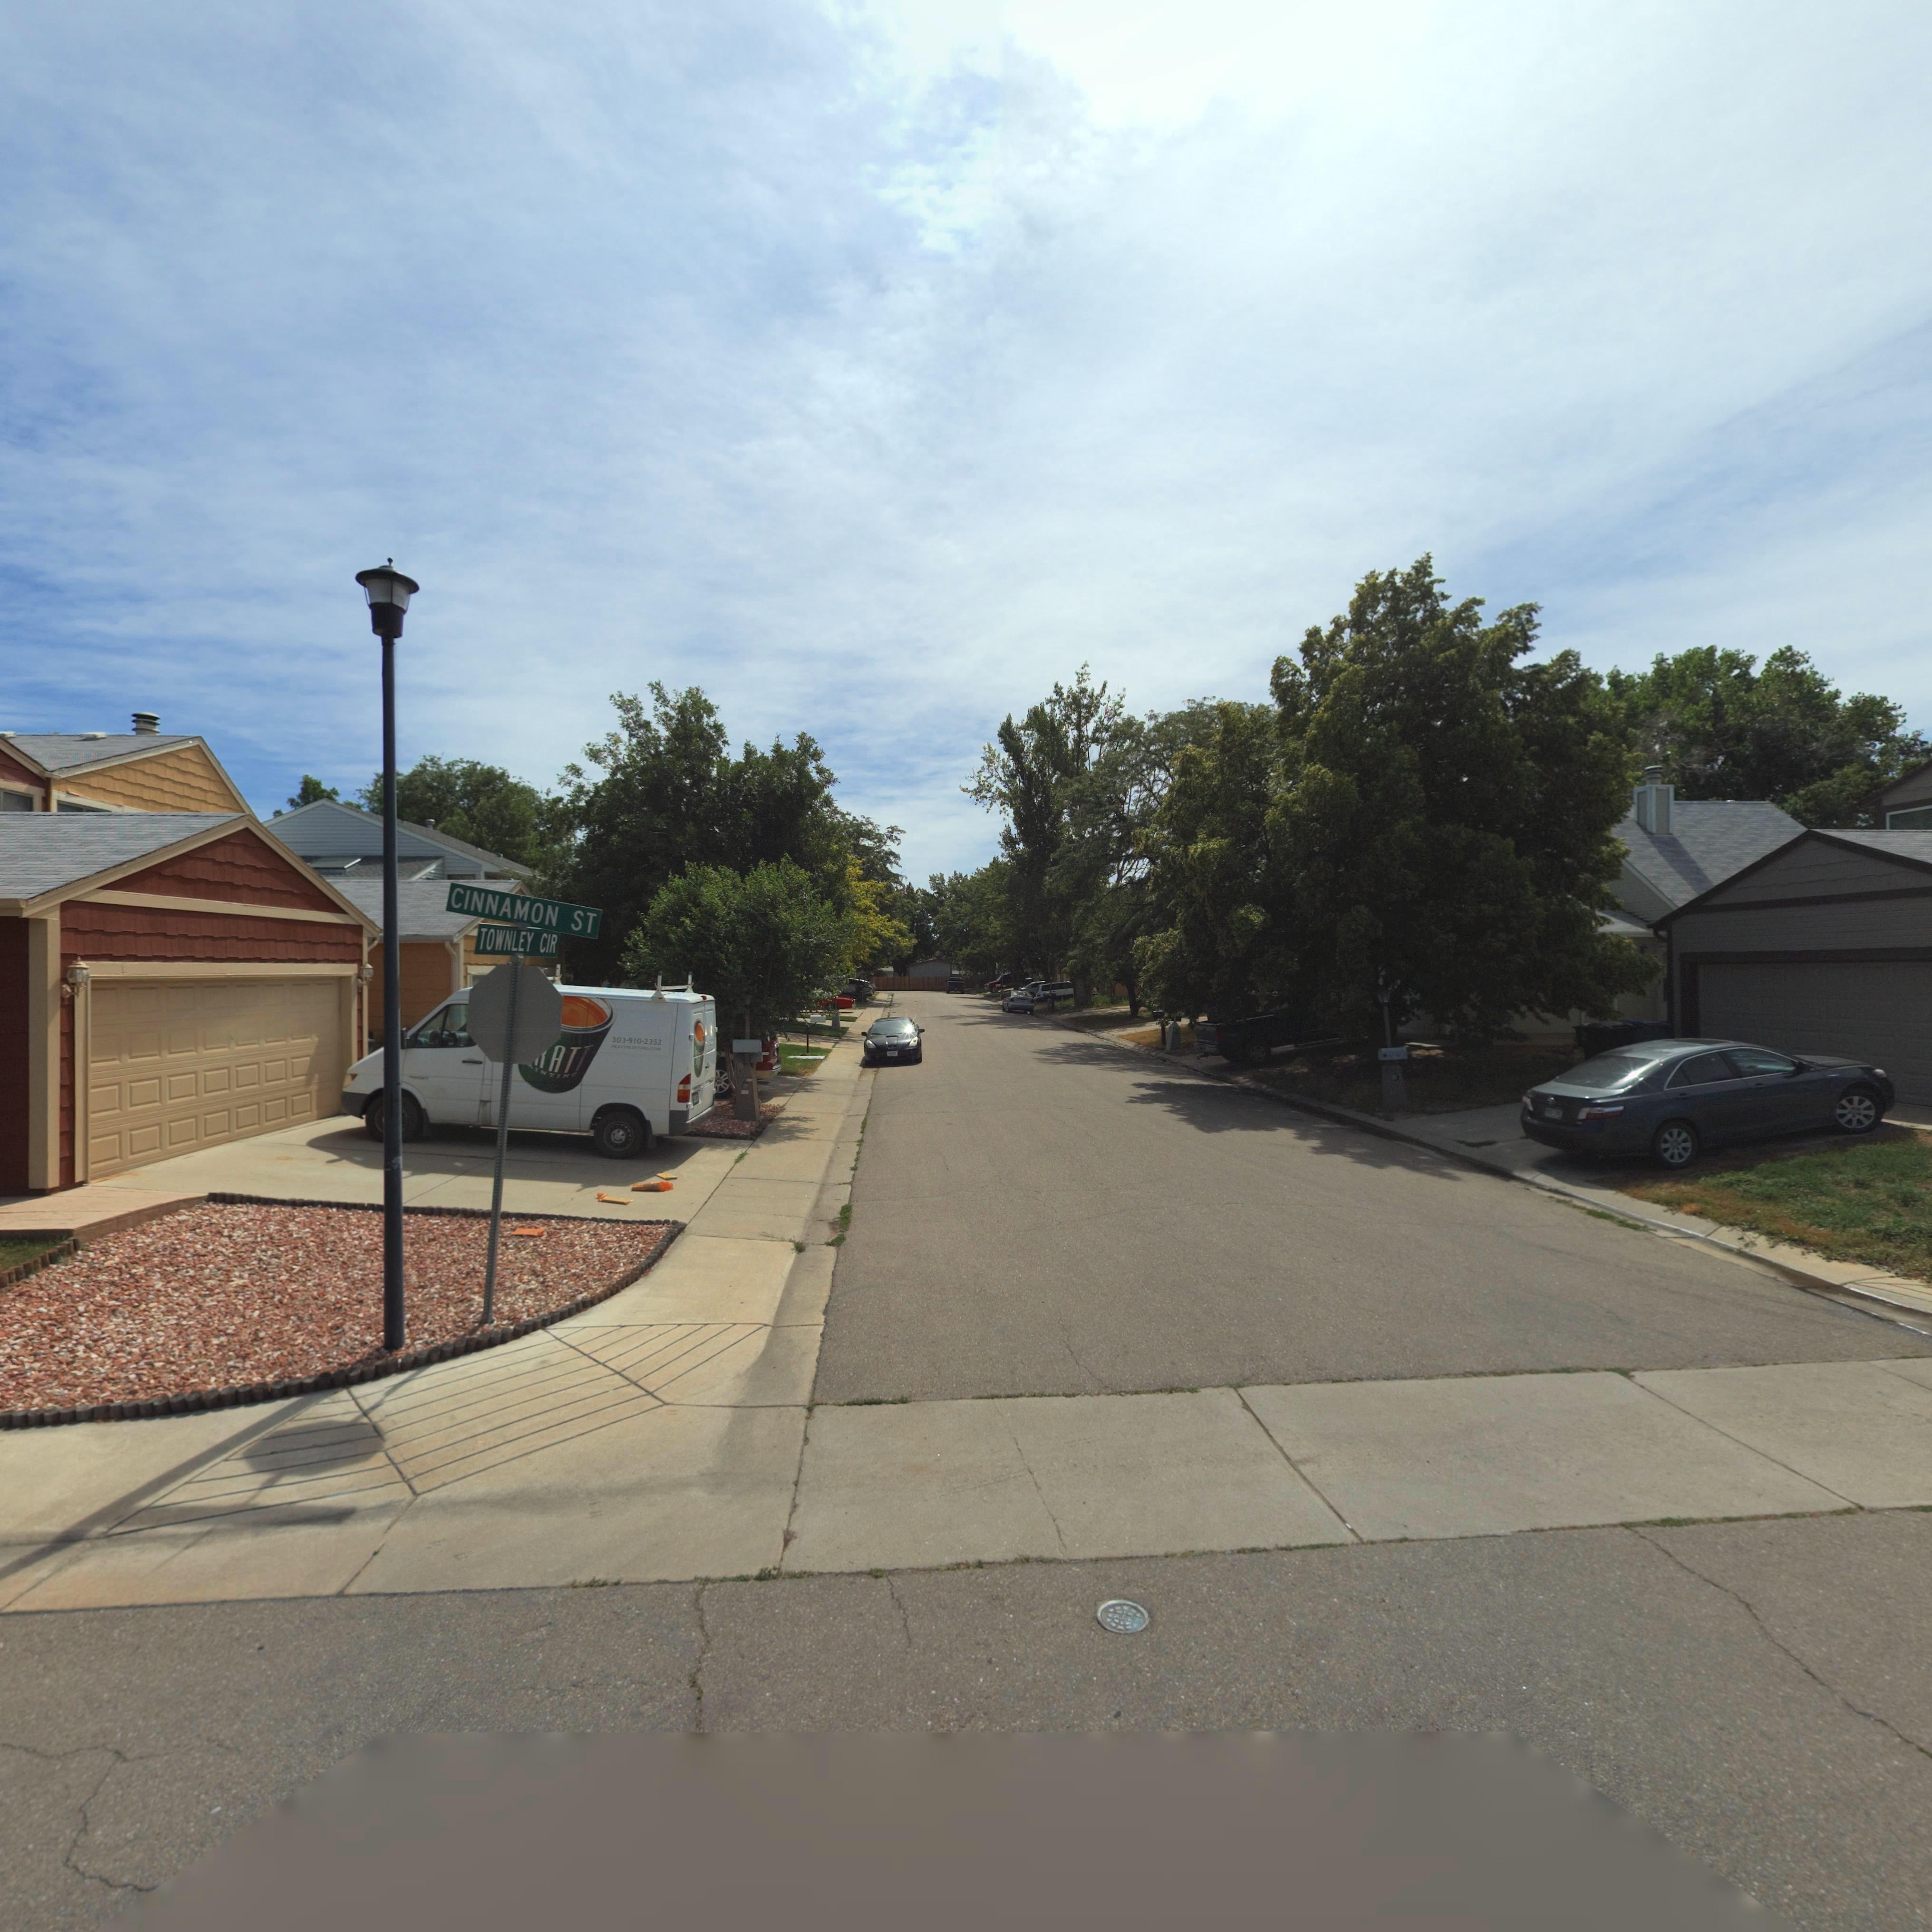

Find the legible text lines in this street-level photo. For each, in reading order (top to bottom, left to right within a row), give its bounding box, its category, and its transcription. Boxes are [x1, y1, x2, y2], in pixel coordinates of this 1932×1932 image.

[450, 886, 598, 935] StreetName: CINNAMON ST
[479, 927, 558, 954] StreetName: TOWNLEY CIR